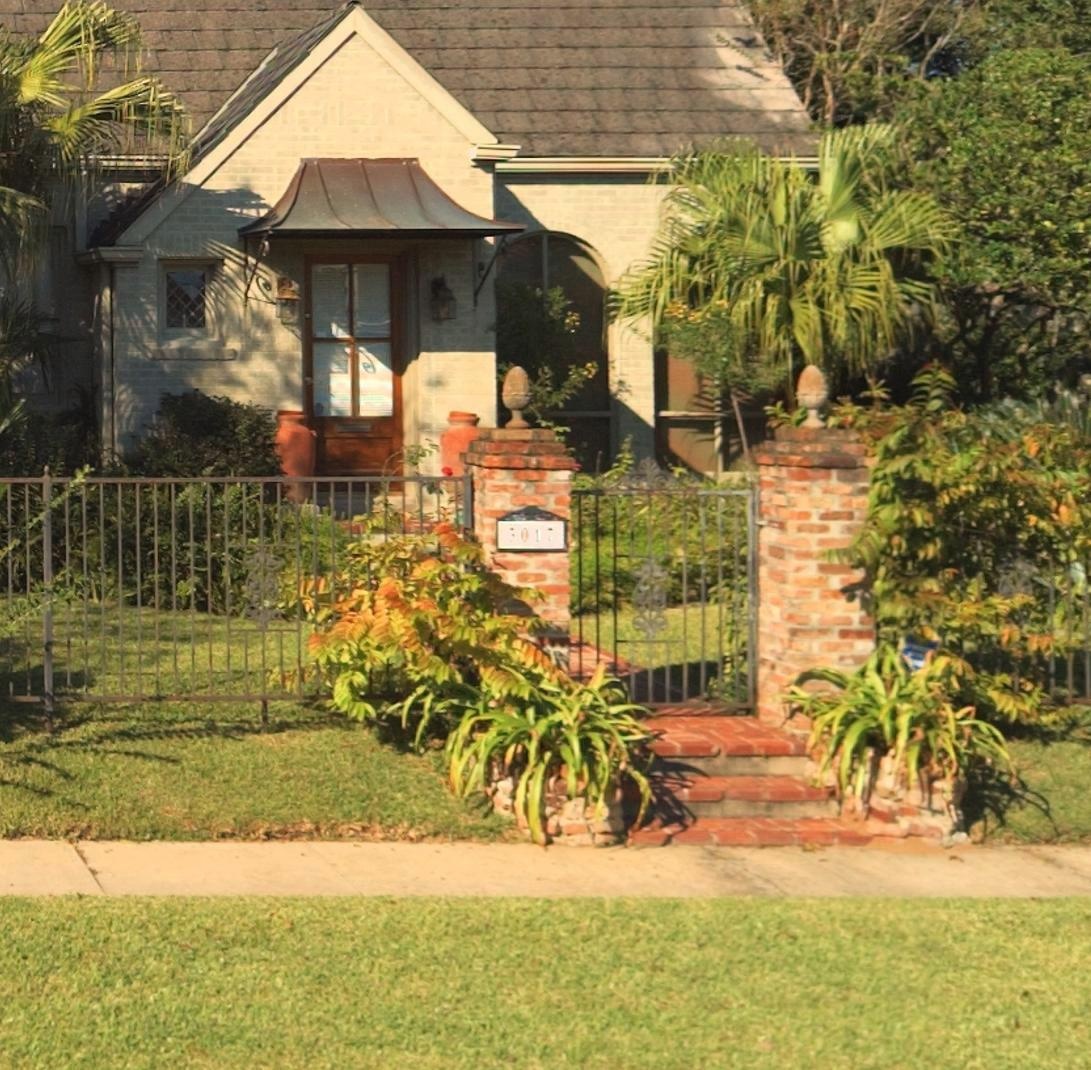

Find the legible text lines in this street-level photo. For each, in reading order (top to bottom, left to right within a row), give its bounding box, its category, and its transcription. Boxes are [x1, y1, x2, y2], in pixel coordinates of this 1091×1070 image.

[505, 524, 556, 545] StreetNumber: *01*